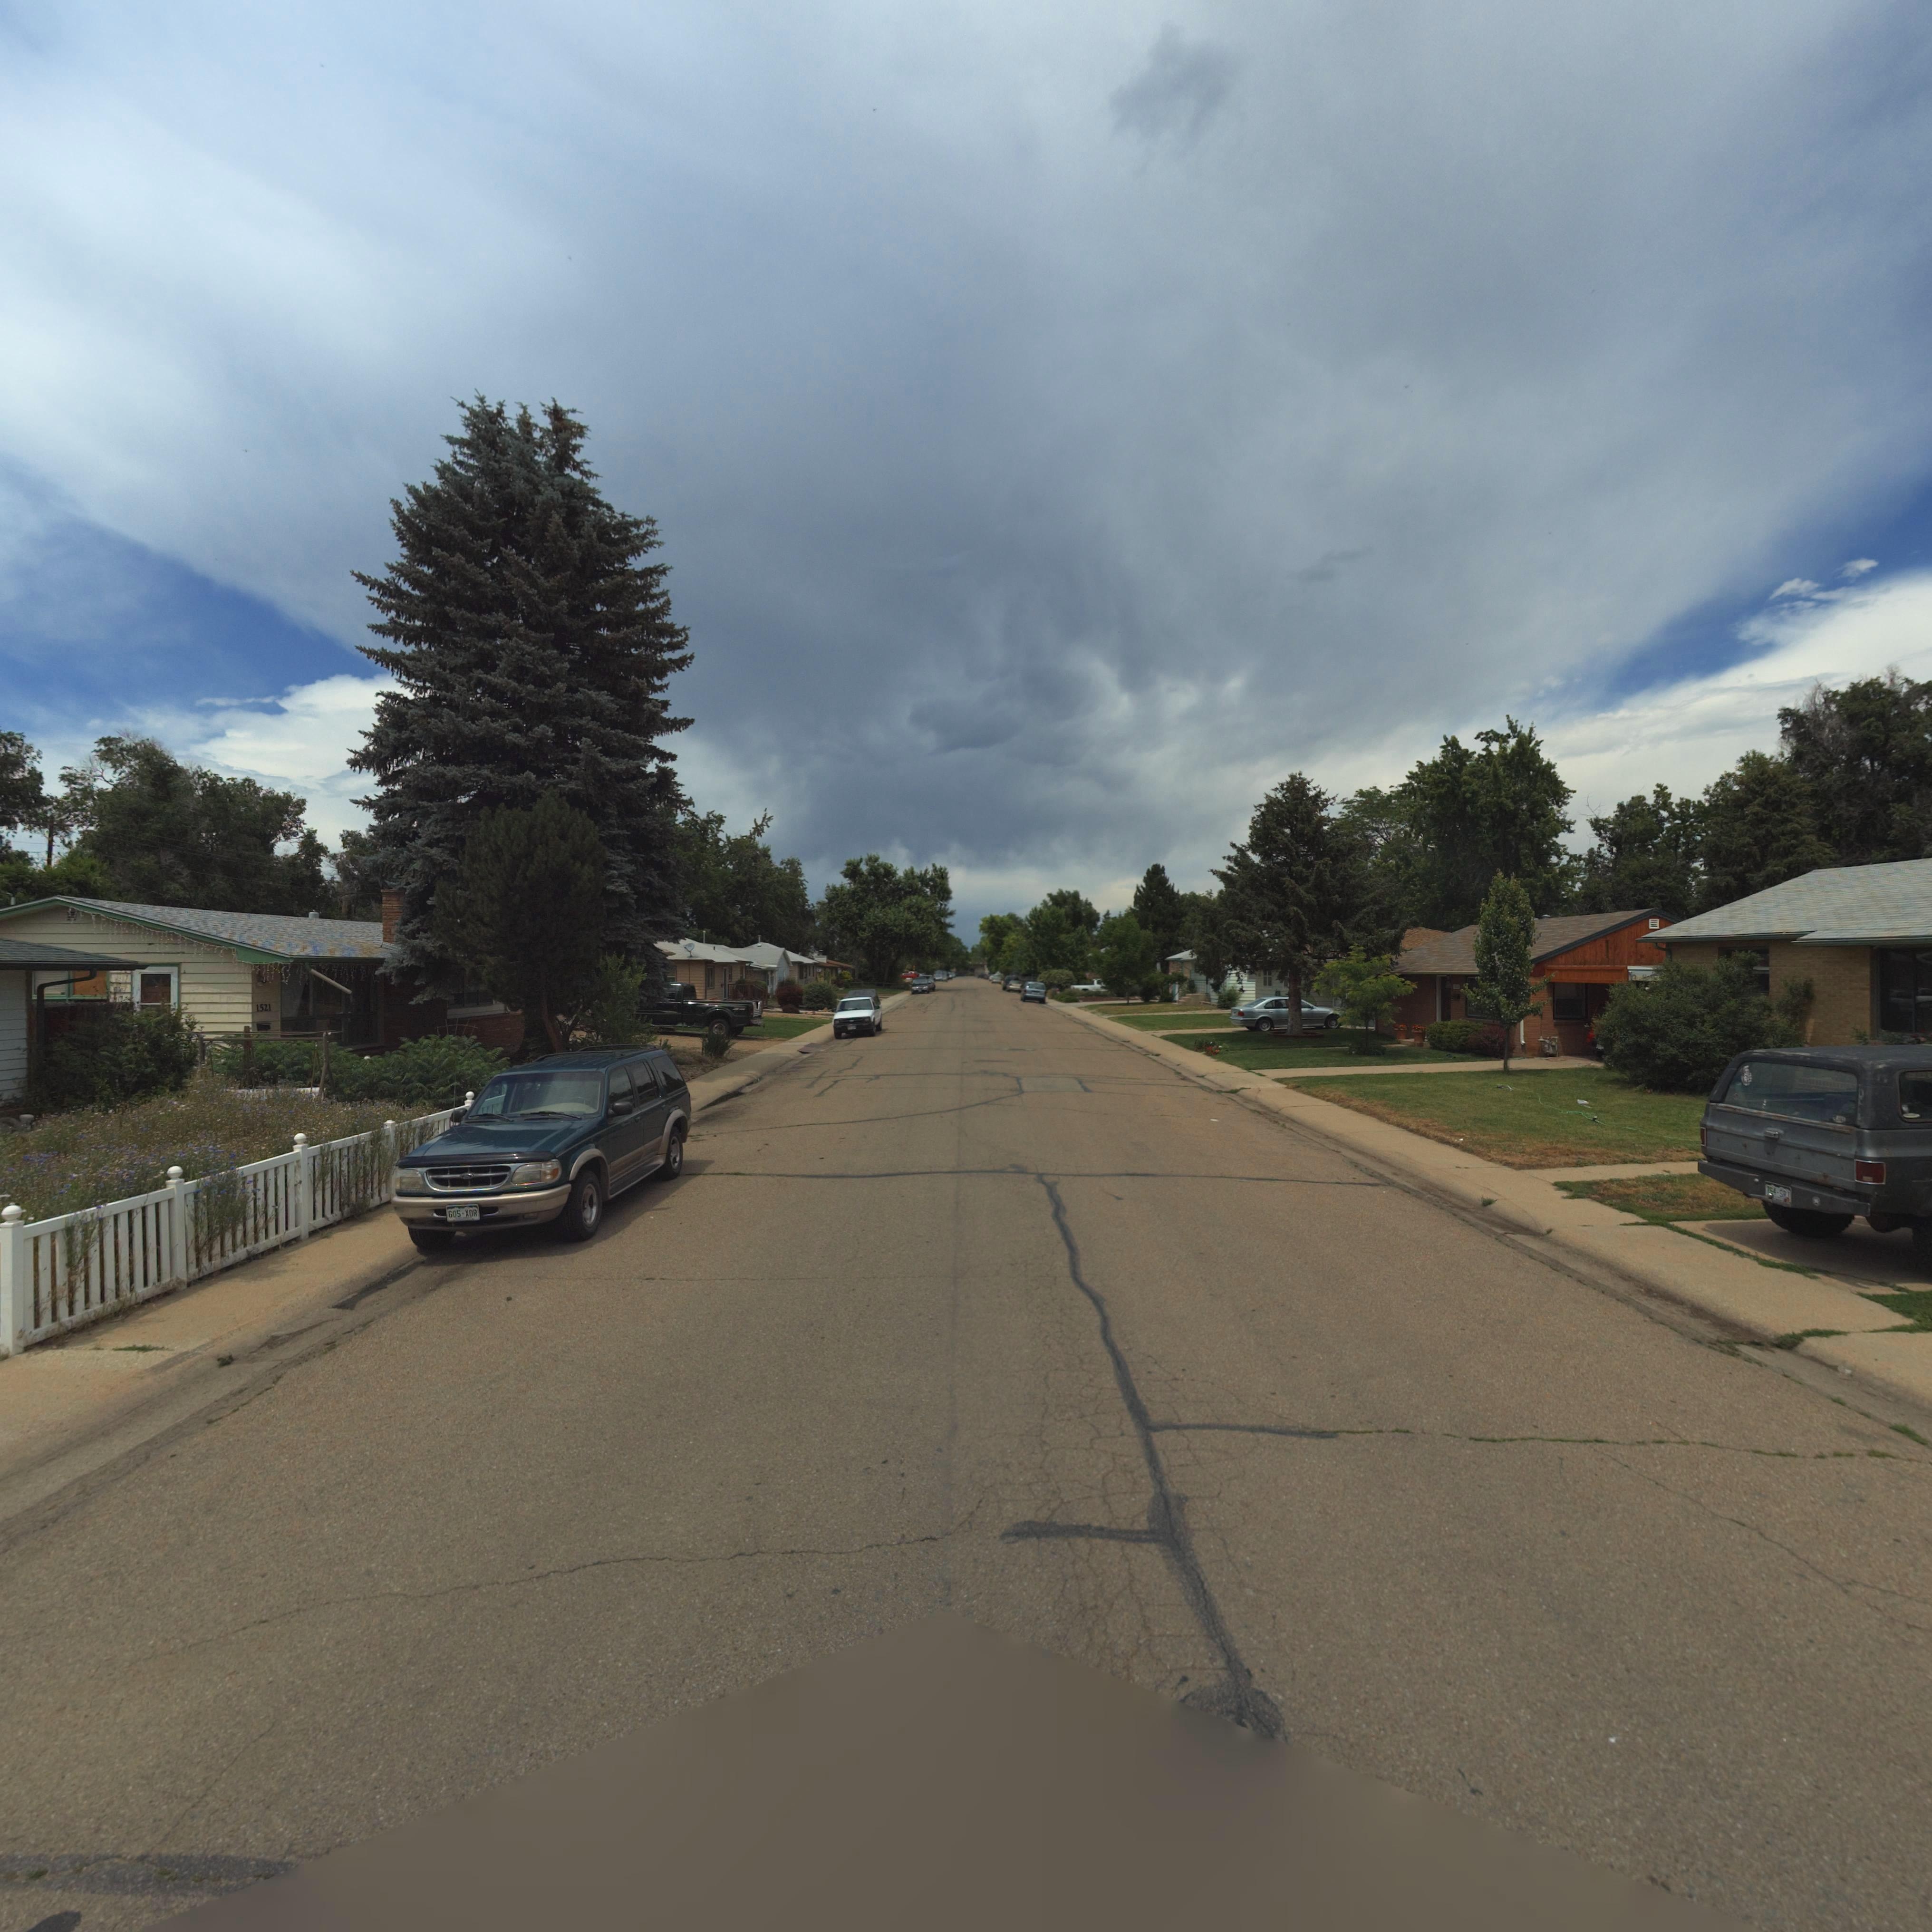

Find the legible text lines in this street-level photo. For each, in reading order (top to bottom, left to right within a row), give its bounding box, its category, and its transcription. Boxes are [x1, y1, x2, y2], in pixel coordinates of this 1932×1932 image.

[255, 1003, 271, 1012] StreetNumber: 1521